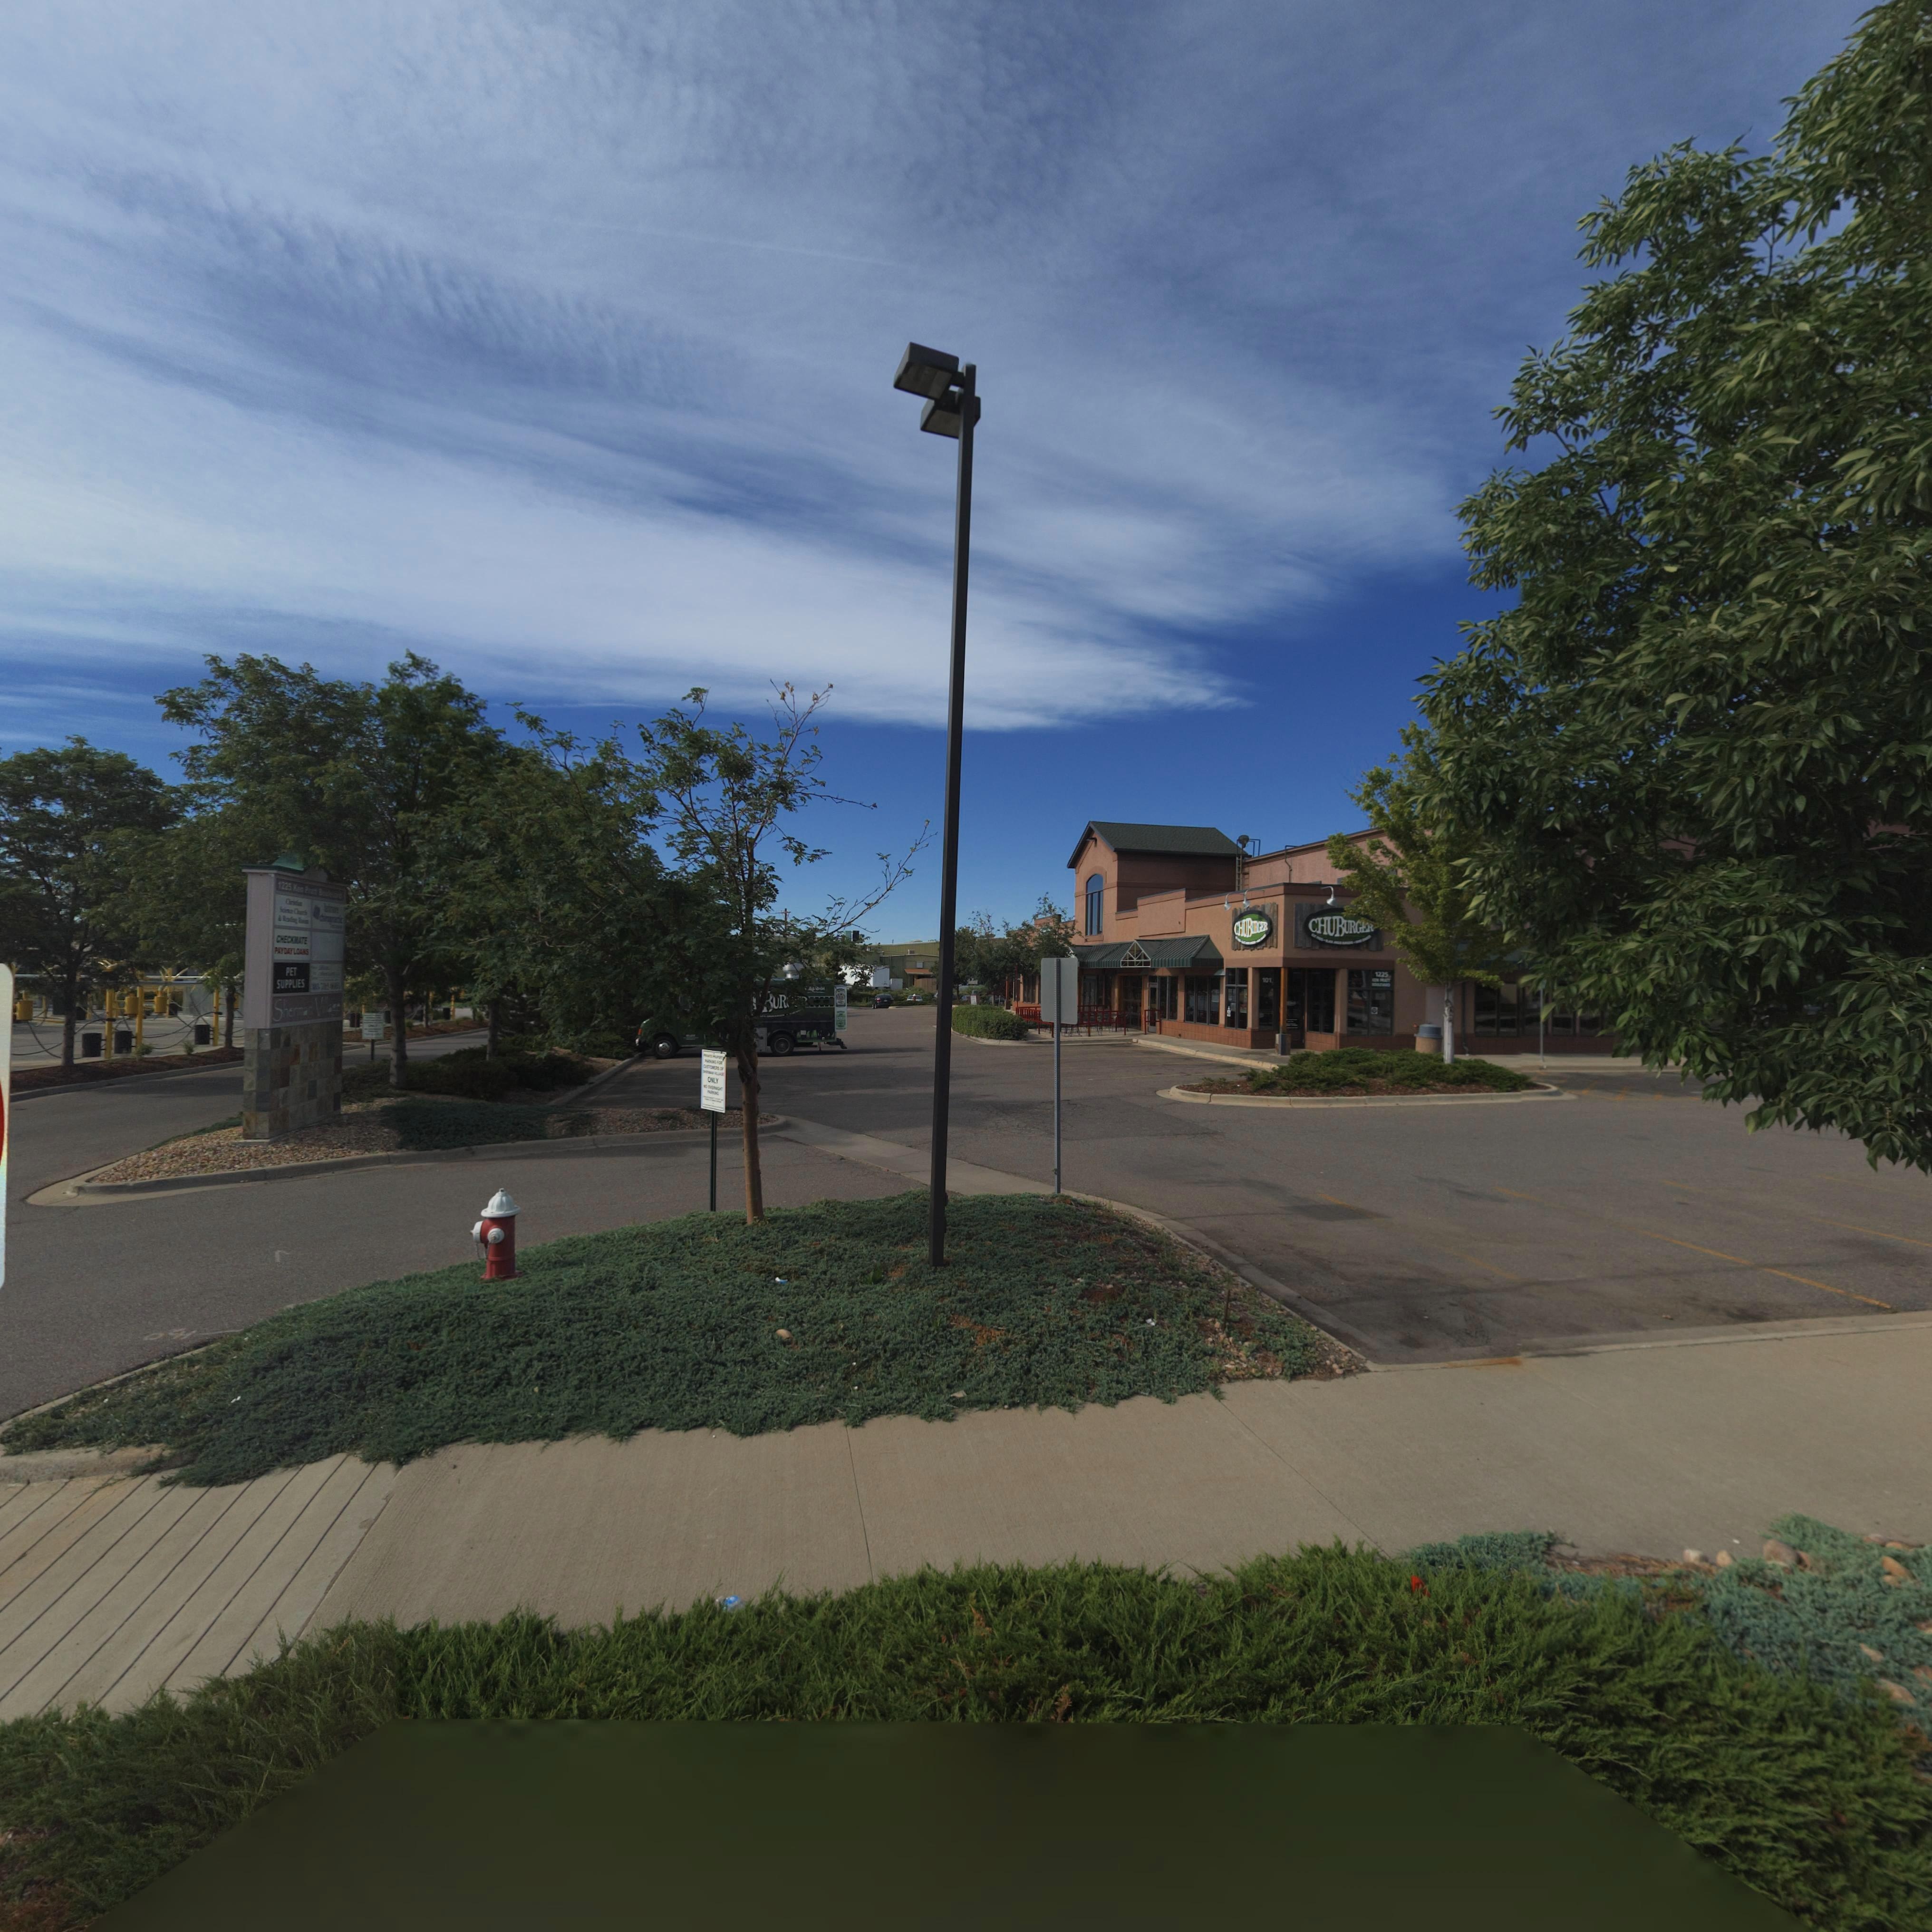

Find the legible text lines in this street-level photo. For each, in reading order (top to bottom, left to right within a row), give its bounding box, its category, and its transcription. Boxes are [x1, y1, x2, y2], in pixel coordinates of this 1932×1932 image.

[278, 880, 292, 891] StreetNumber: 1225
[293, 883, 343, 899] StreetName: KEN PRATT BOULEVARD
[285, 898, 303, 907] BusinessName: Christian
[279, 906, 307, 916] BusinessName: Science Church
[282, 915, 309, 925] BusinessName: Reading Room
[1233, 918, 1268, 937] BusinessName: CHUBURGER
[1307, 916, 1373, 937] BusinessName: CHUBURG**
[275, 935, 307, 944] BusinessName: CHECKMATE
[275, 946, 309, 955] BusinessName: PAYDAY LOANS
[285, 966, 297, 976] BusinessName: PET
[1375, 971, 1388, 977] StreetNumber: 1225
[277, 978, 304, 989] BusinessName: SUPPLIES